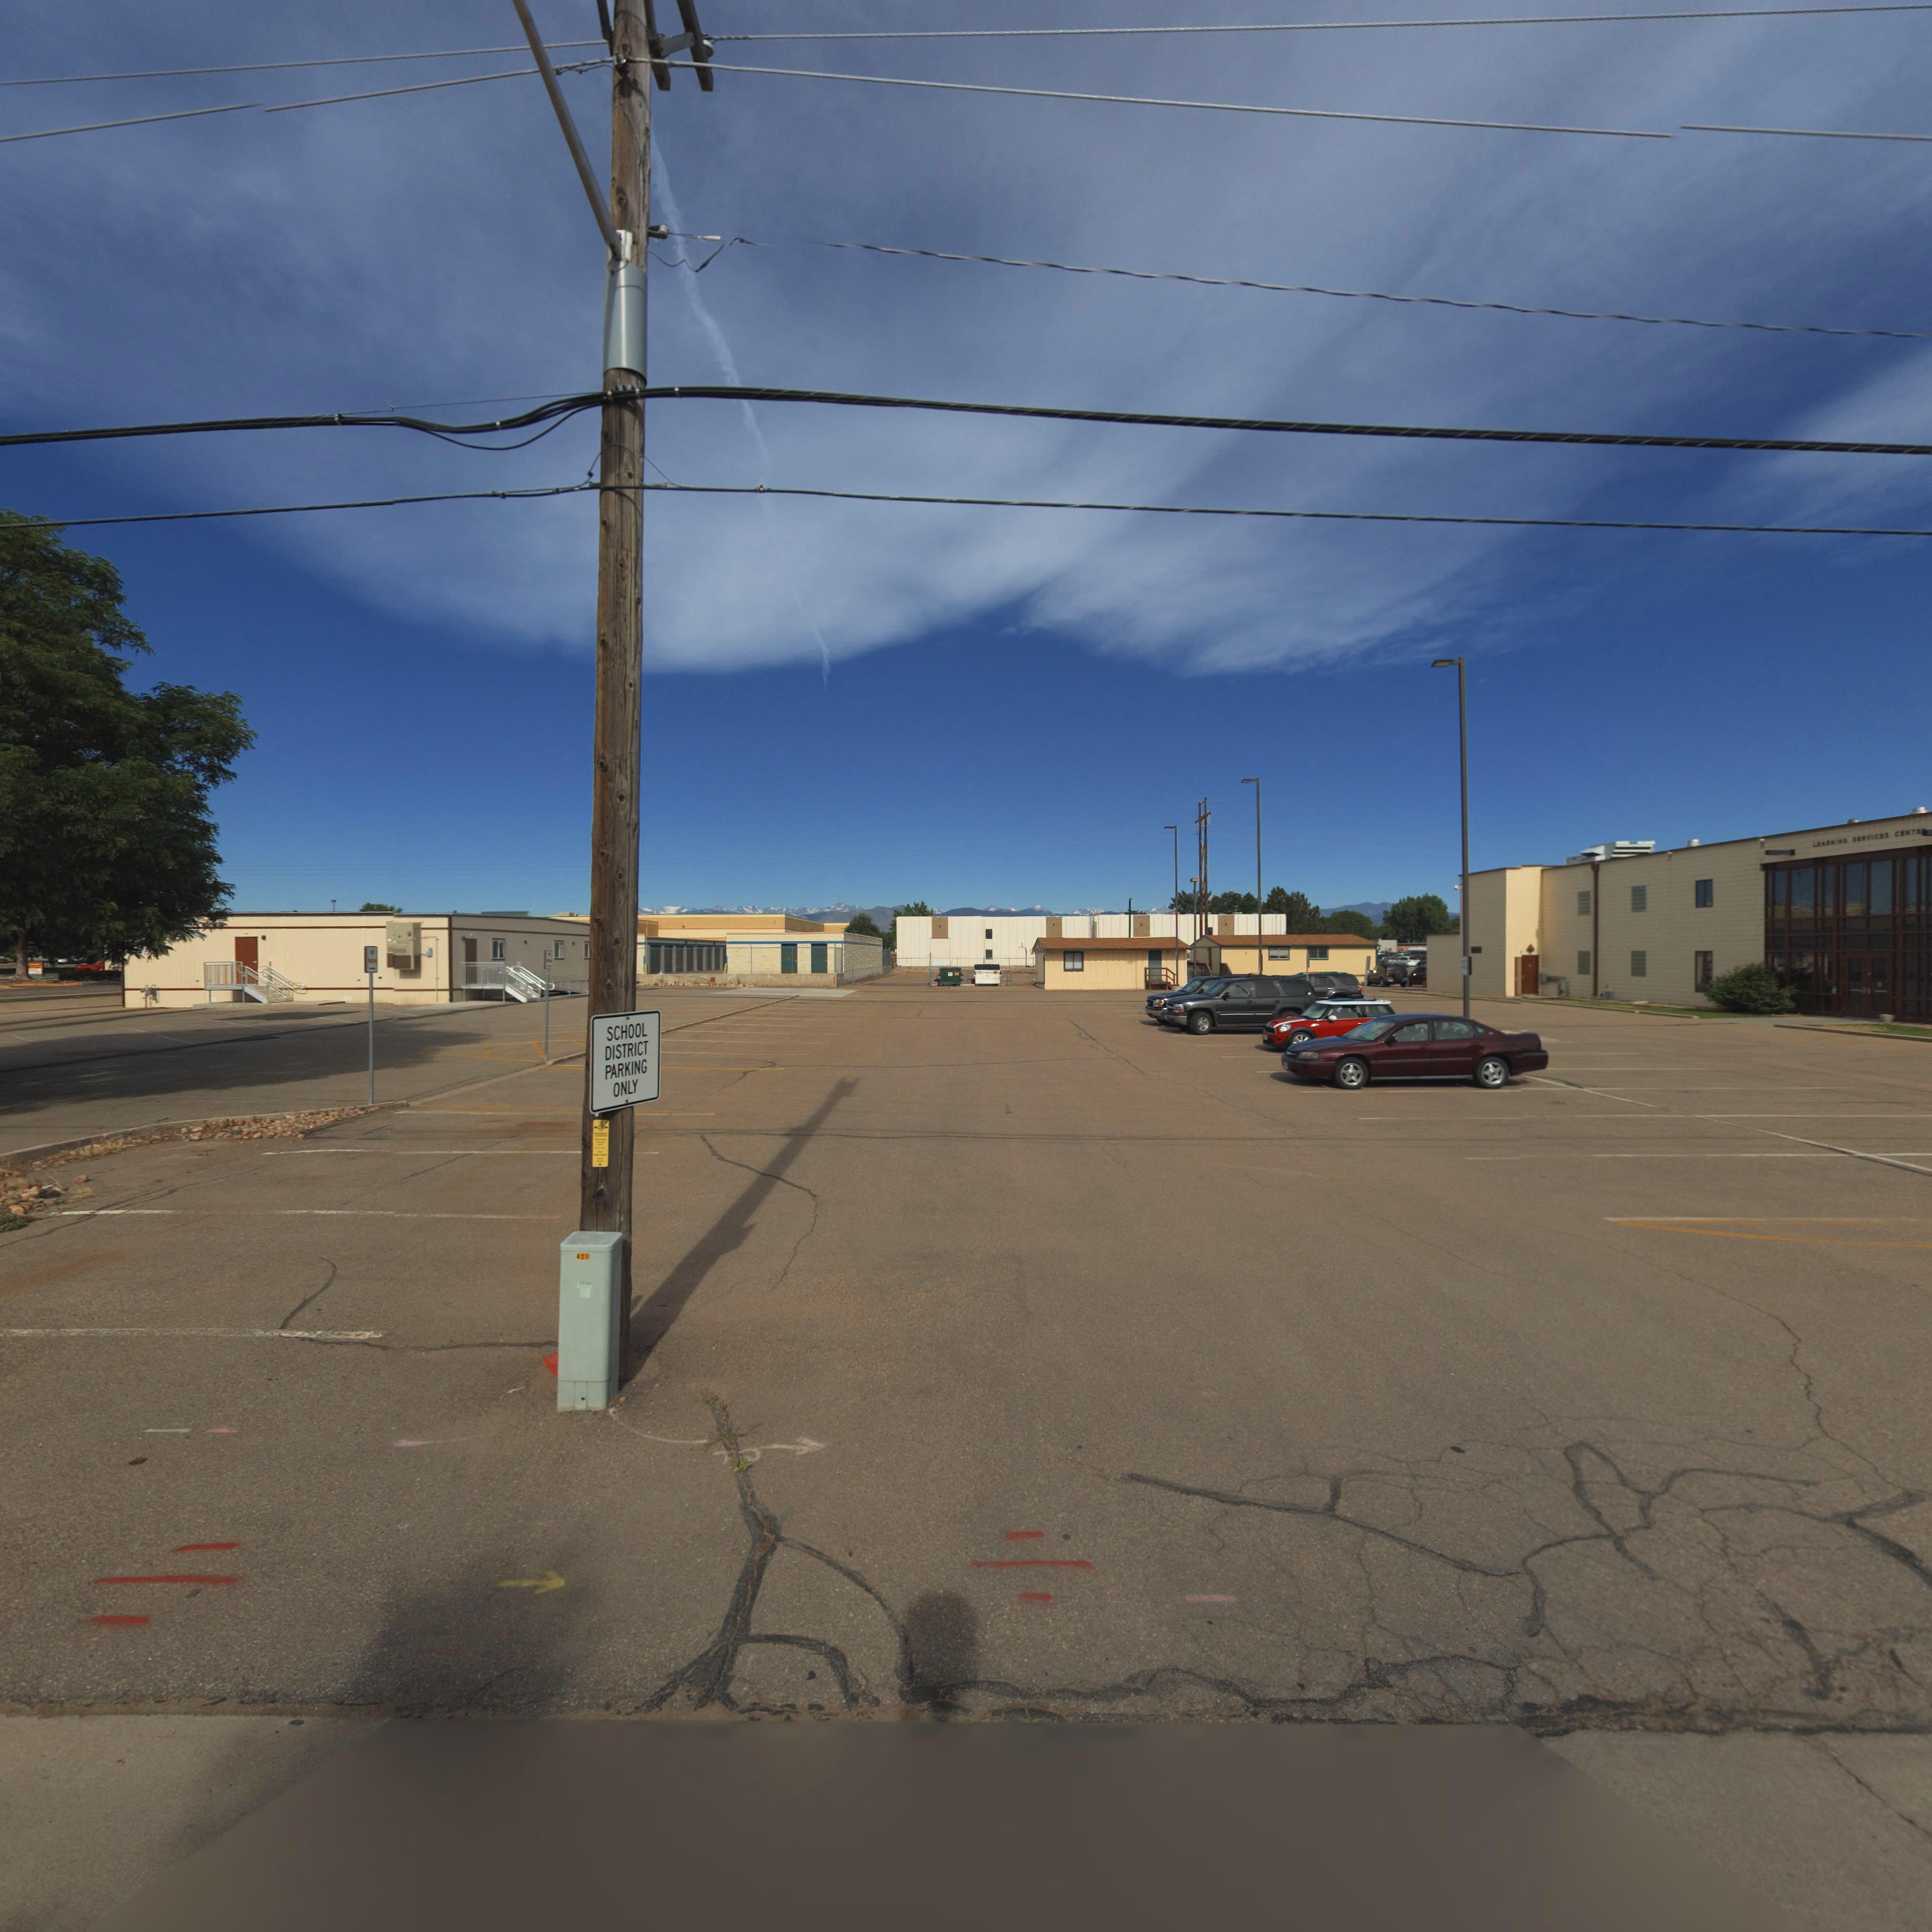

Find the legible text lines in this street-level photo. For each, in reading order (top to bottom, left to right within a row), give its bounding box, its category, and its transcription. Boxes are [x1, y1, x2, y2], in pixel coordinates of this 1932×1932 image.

[1812, 828, 1921, 847] BusinessName: LEARNING SERVICES CENTER